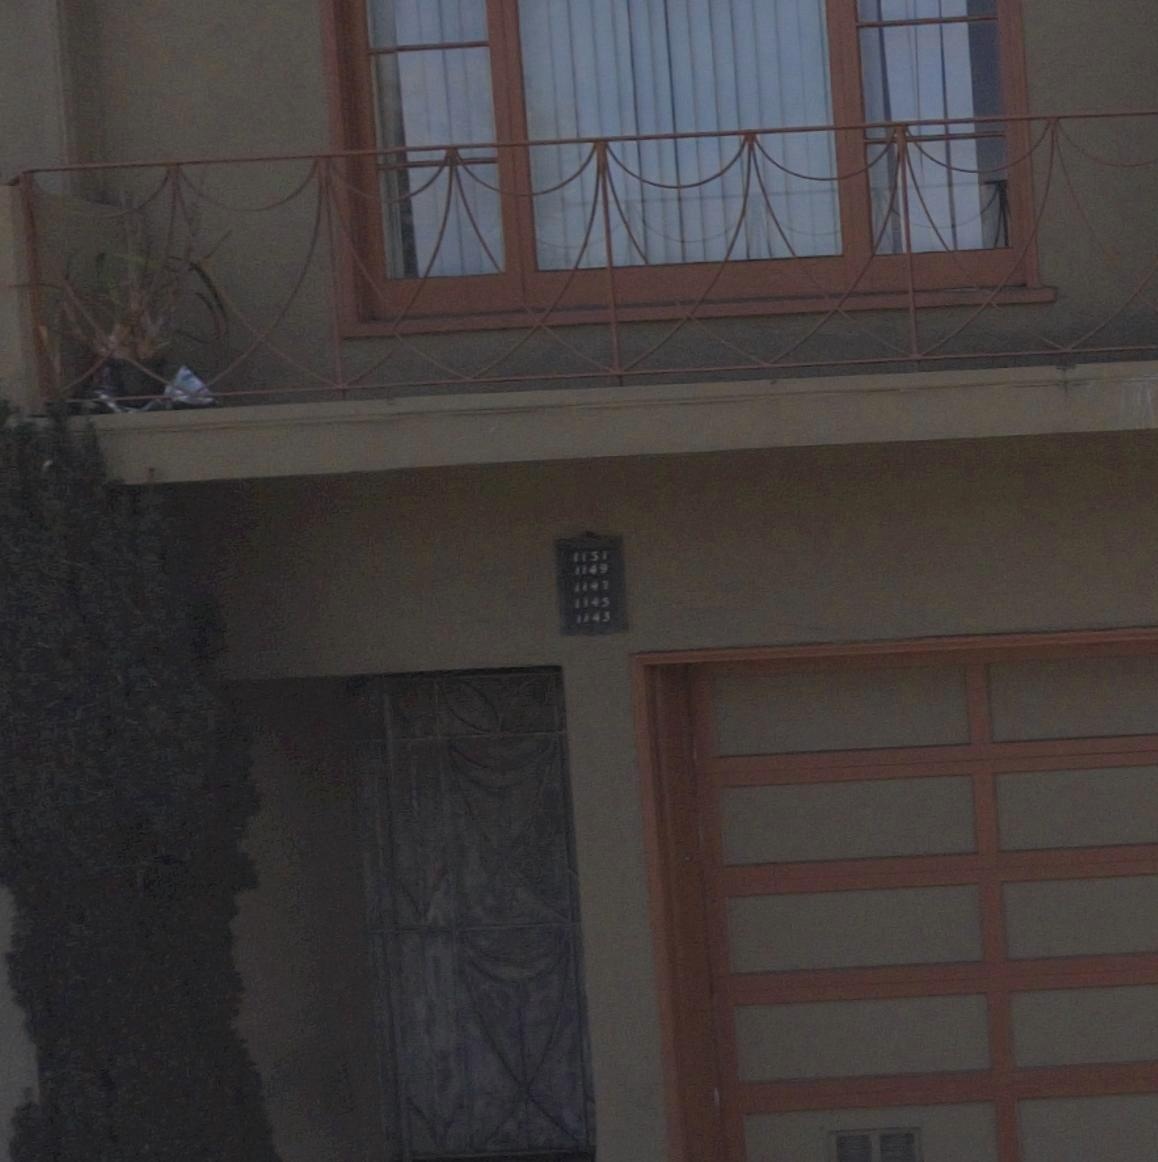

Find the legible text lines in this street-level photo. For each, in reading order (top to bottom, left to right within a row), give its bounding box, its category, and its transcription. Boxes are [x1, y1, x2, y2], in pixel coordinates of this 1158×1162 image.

[572, 550, 608, 562] StreetNumber: 1151
[573, 562, 607, 576] StreetNumber: 1149
[574, 579, 609, 593] StreetNumber: 1147
[574, 596, 611, 609] StreetNumber: 1145
[575, 611, 610, 624] StreetNumber: 1143